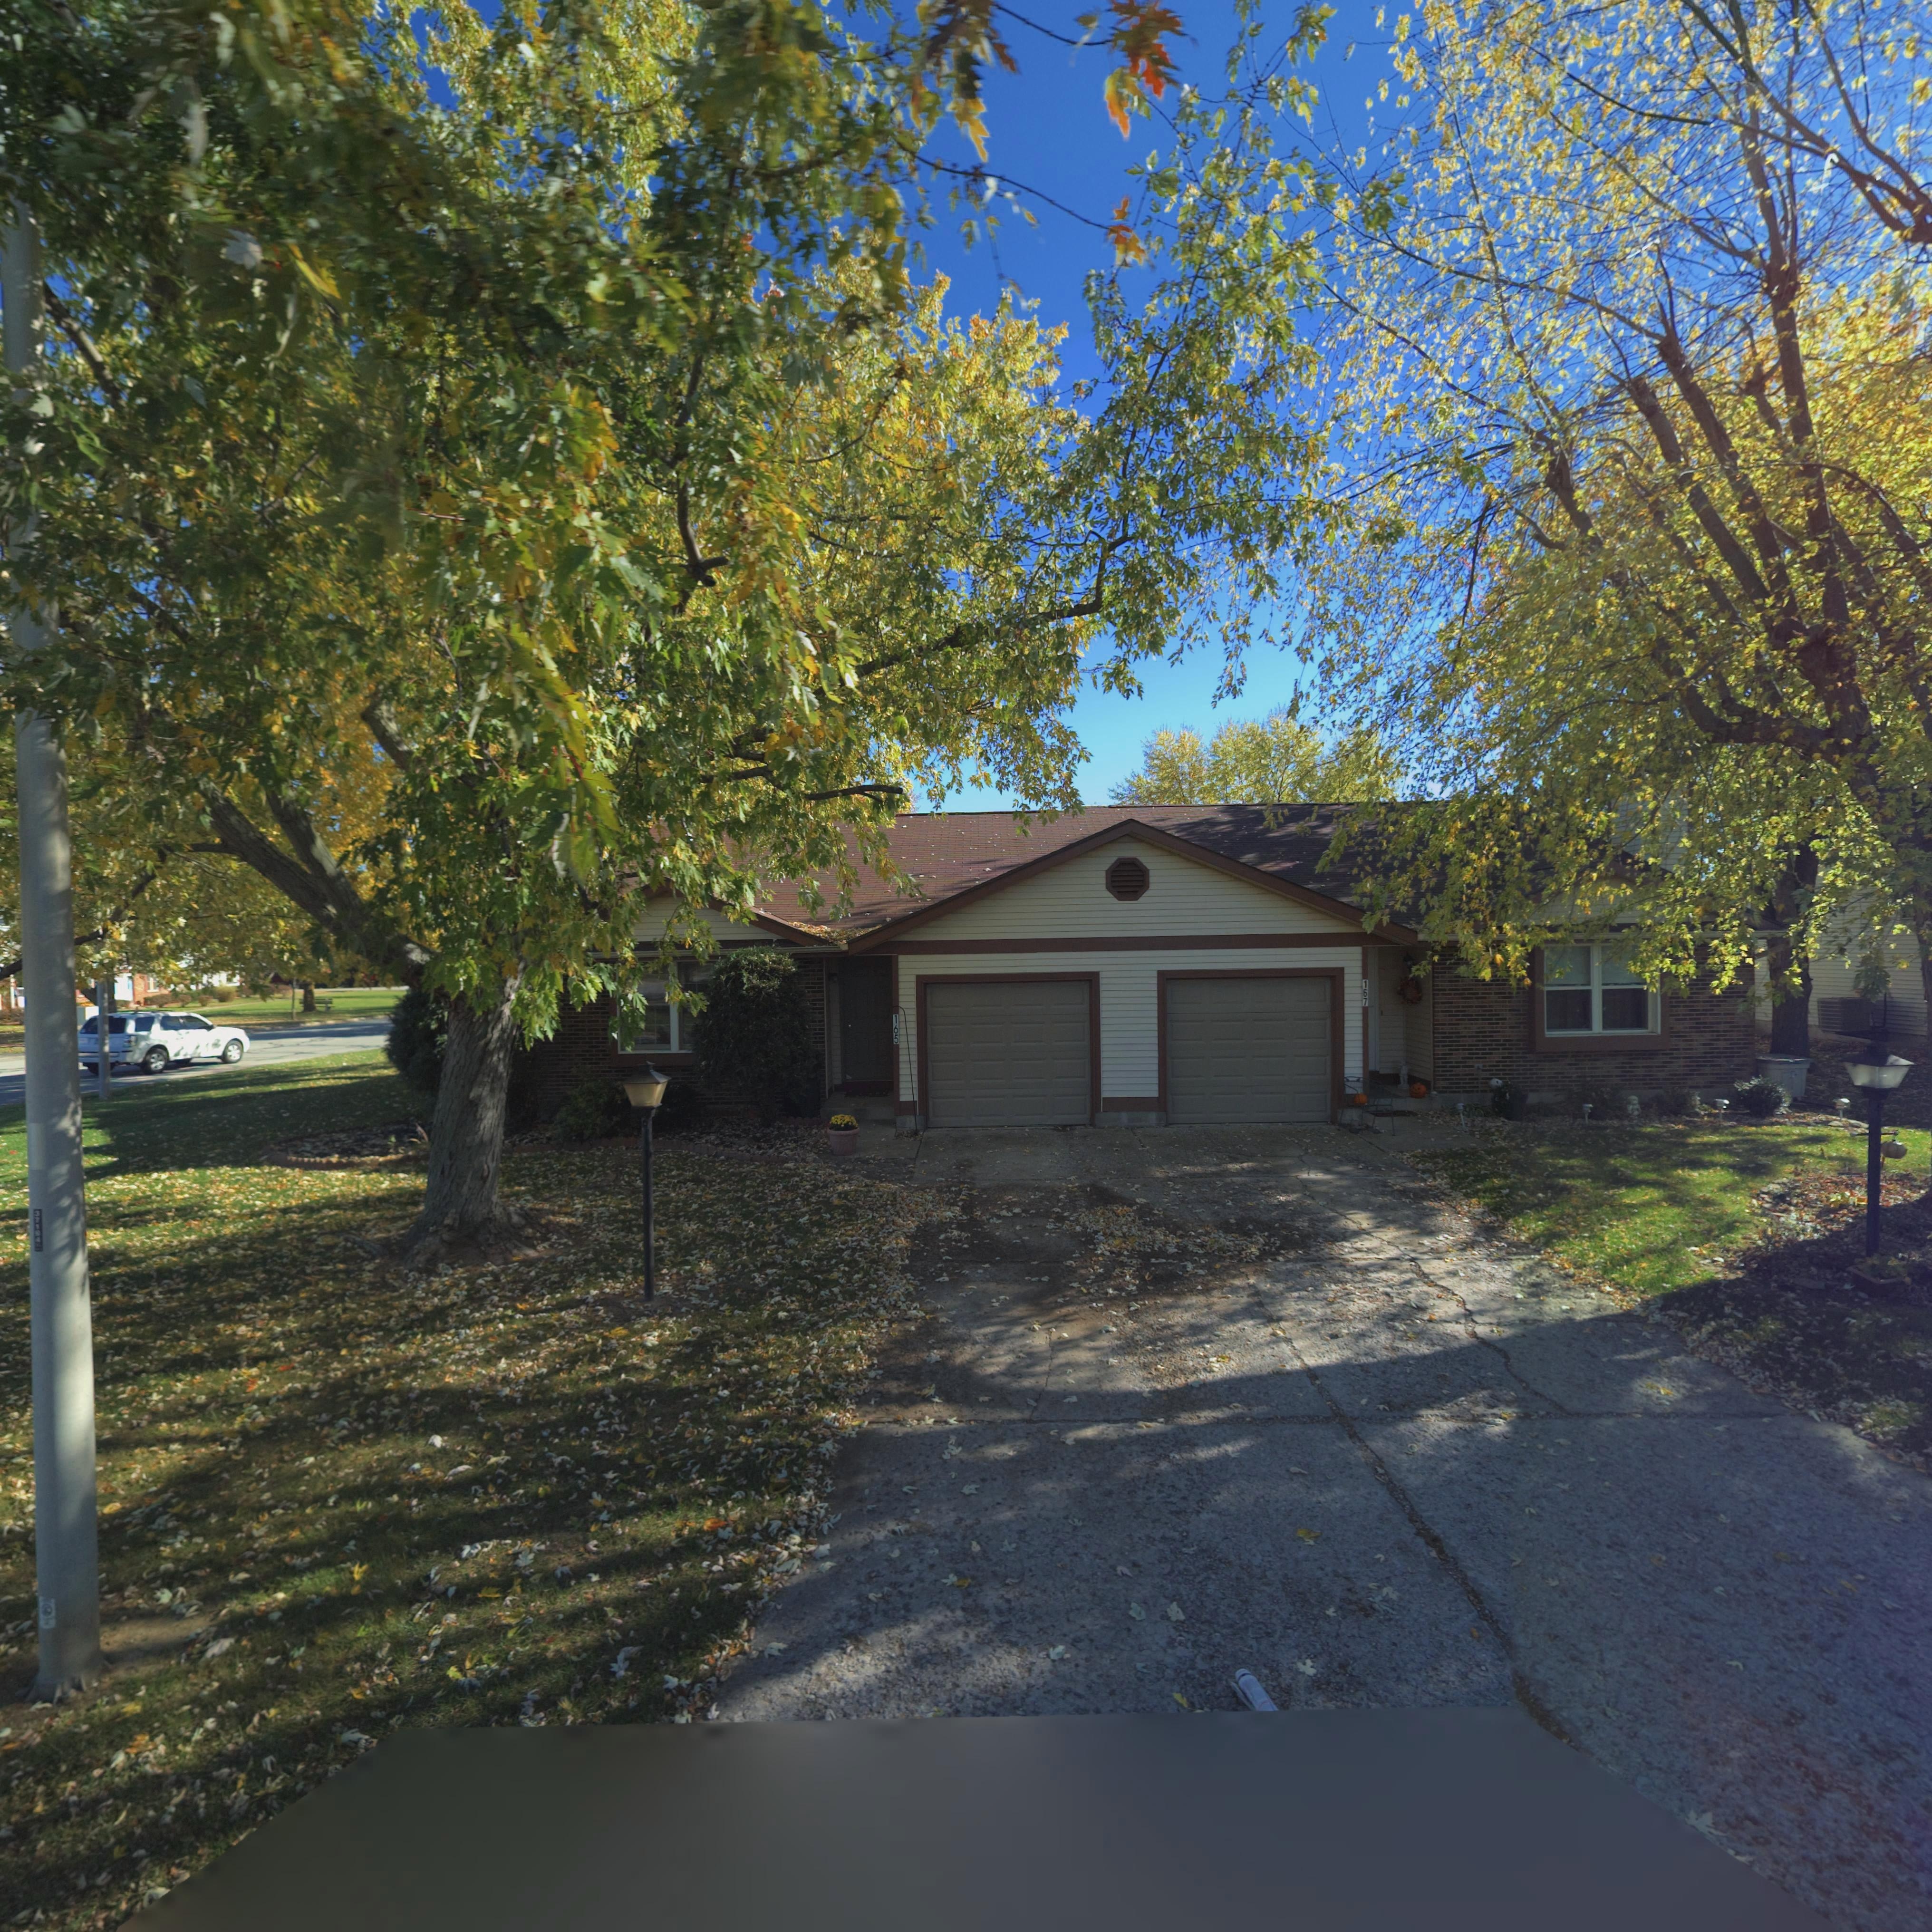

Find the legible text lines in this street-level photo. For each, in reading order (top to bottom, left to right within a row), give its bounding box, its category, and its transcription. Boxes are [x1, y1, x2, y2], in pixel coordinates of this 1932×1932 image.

[1362, 979, 1369, 1007] StreetNumber: 167
[893, 1014, 899, 1045] StreetNumber: 165